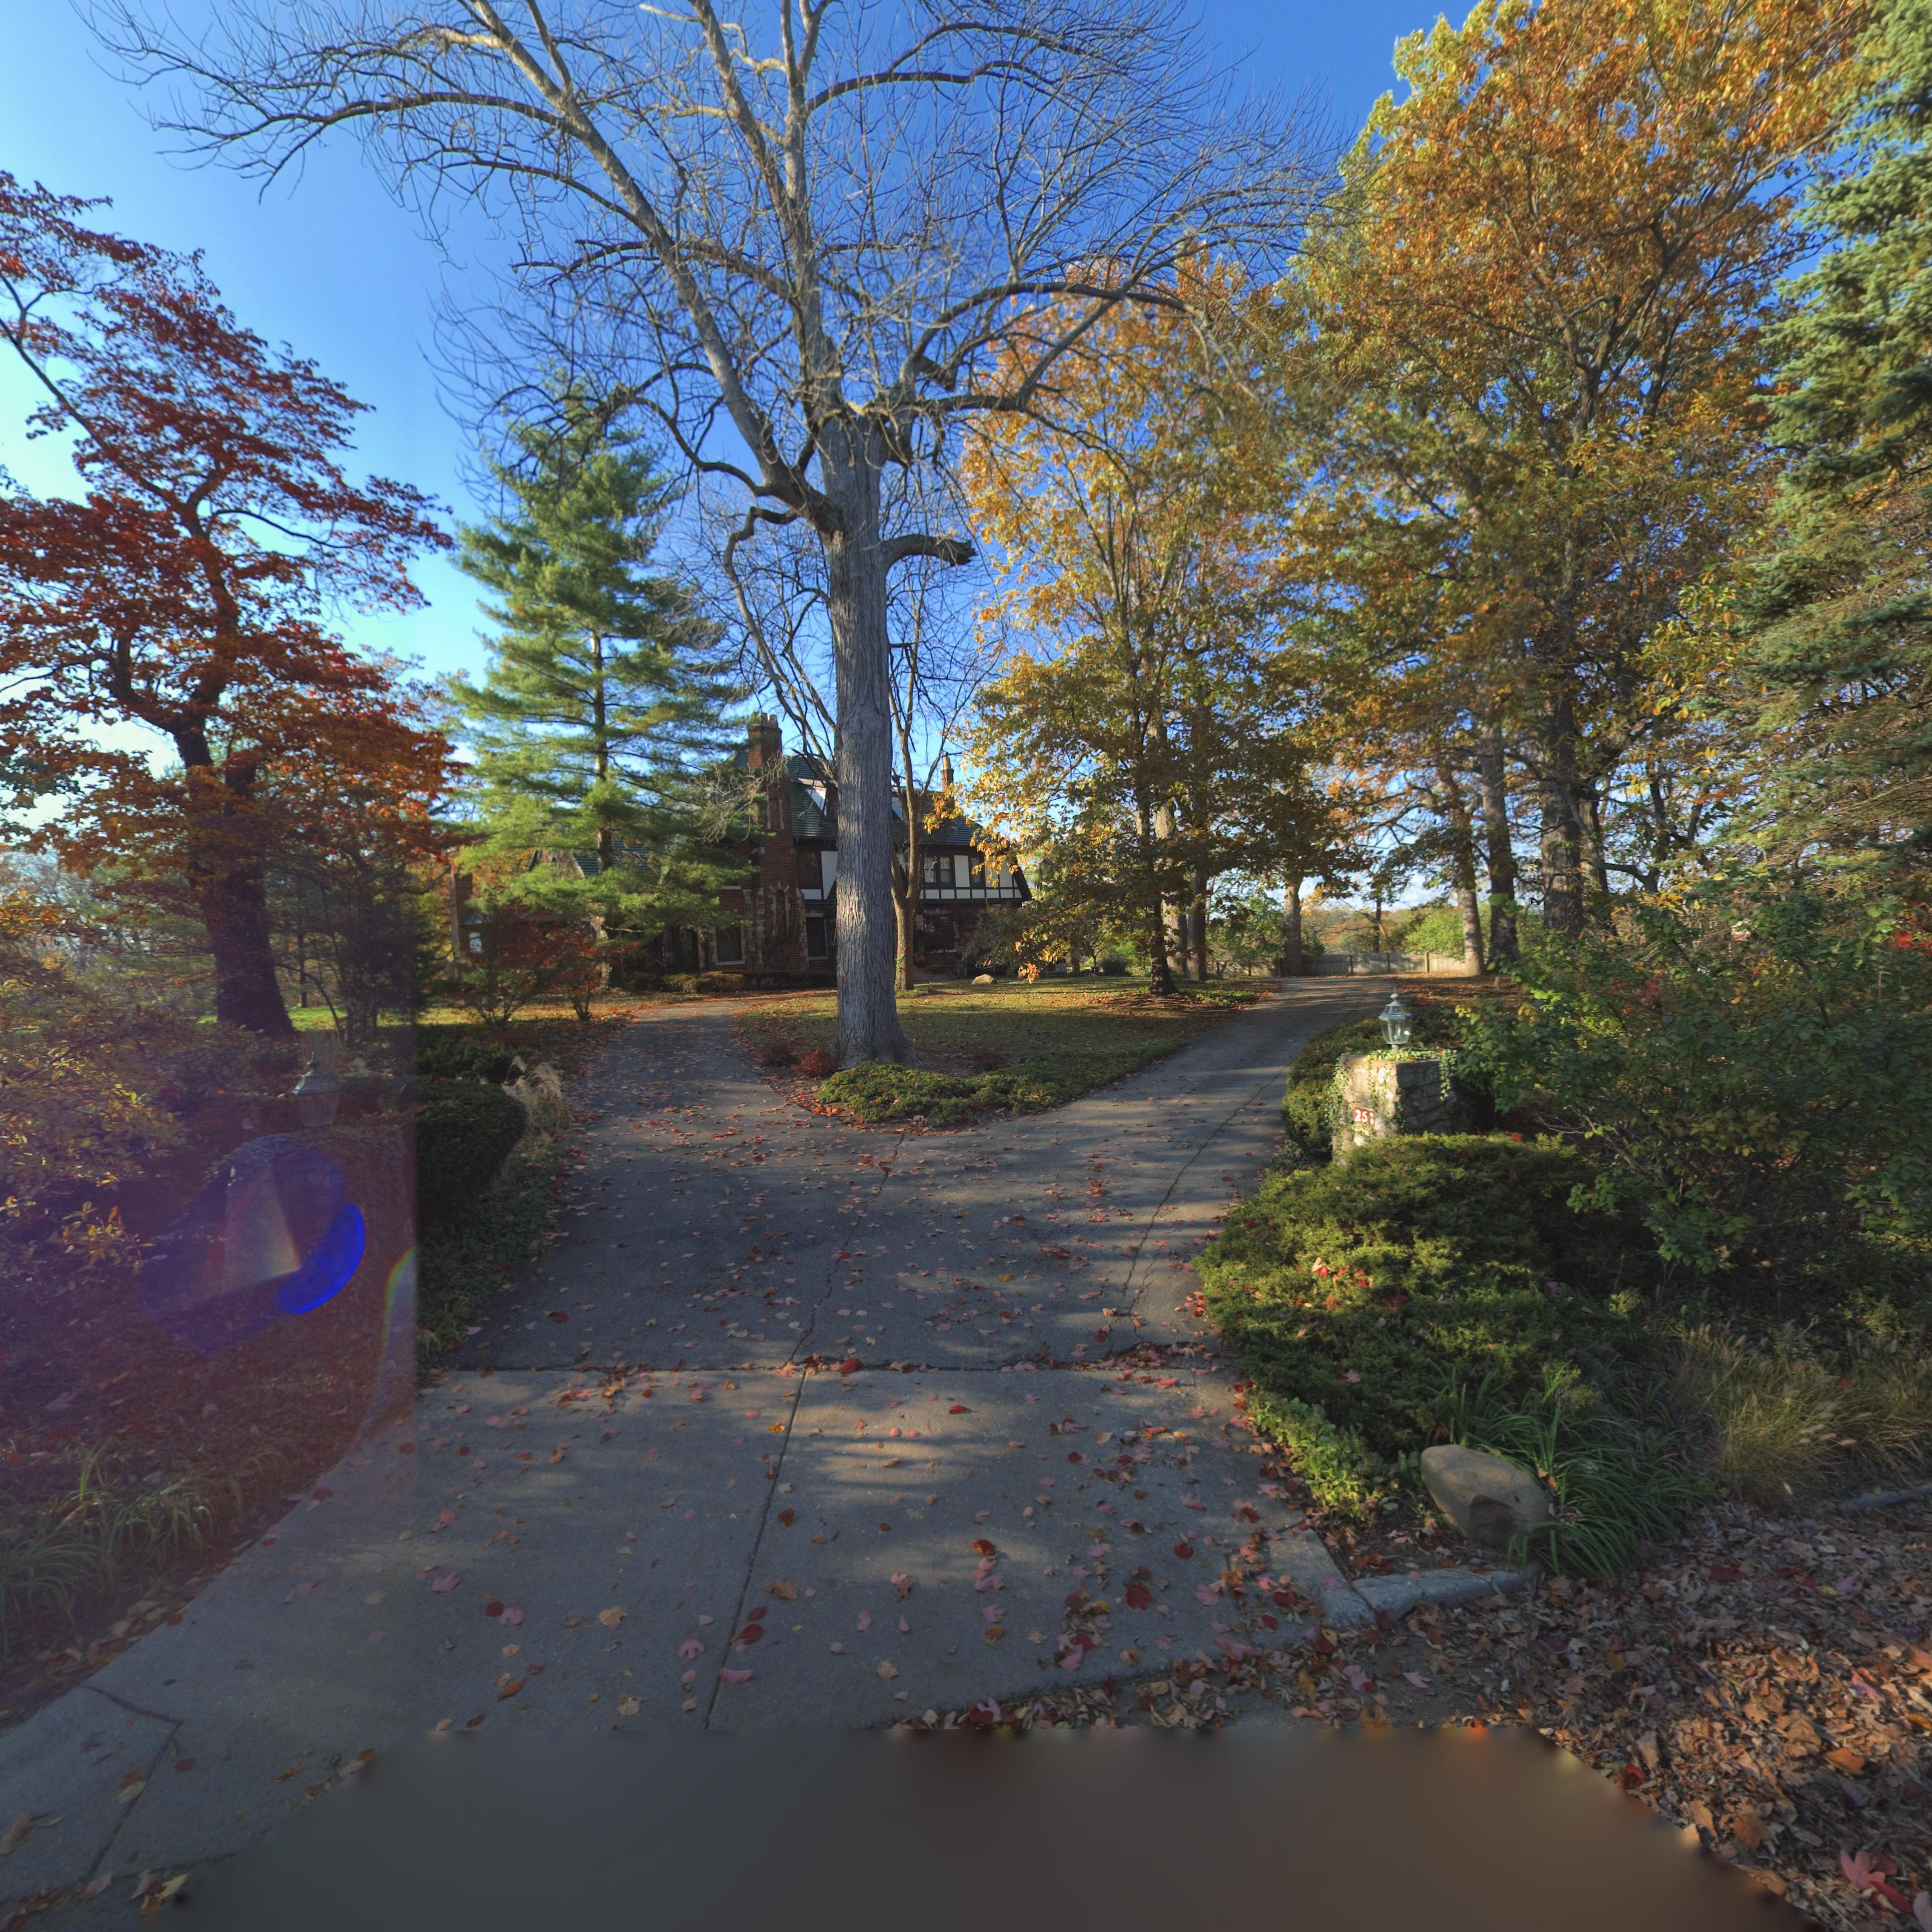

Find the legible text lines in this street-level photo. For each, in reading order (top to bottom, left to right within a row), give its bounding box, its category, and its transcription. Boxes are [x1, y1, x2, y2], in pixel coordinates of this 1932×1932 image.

[1352, 1106, 1376, 1127] StreetNumber: 25*